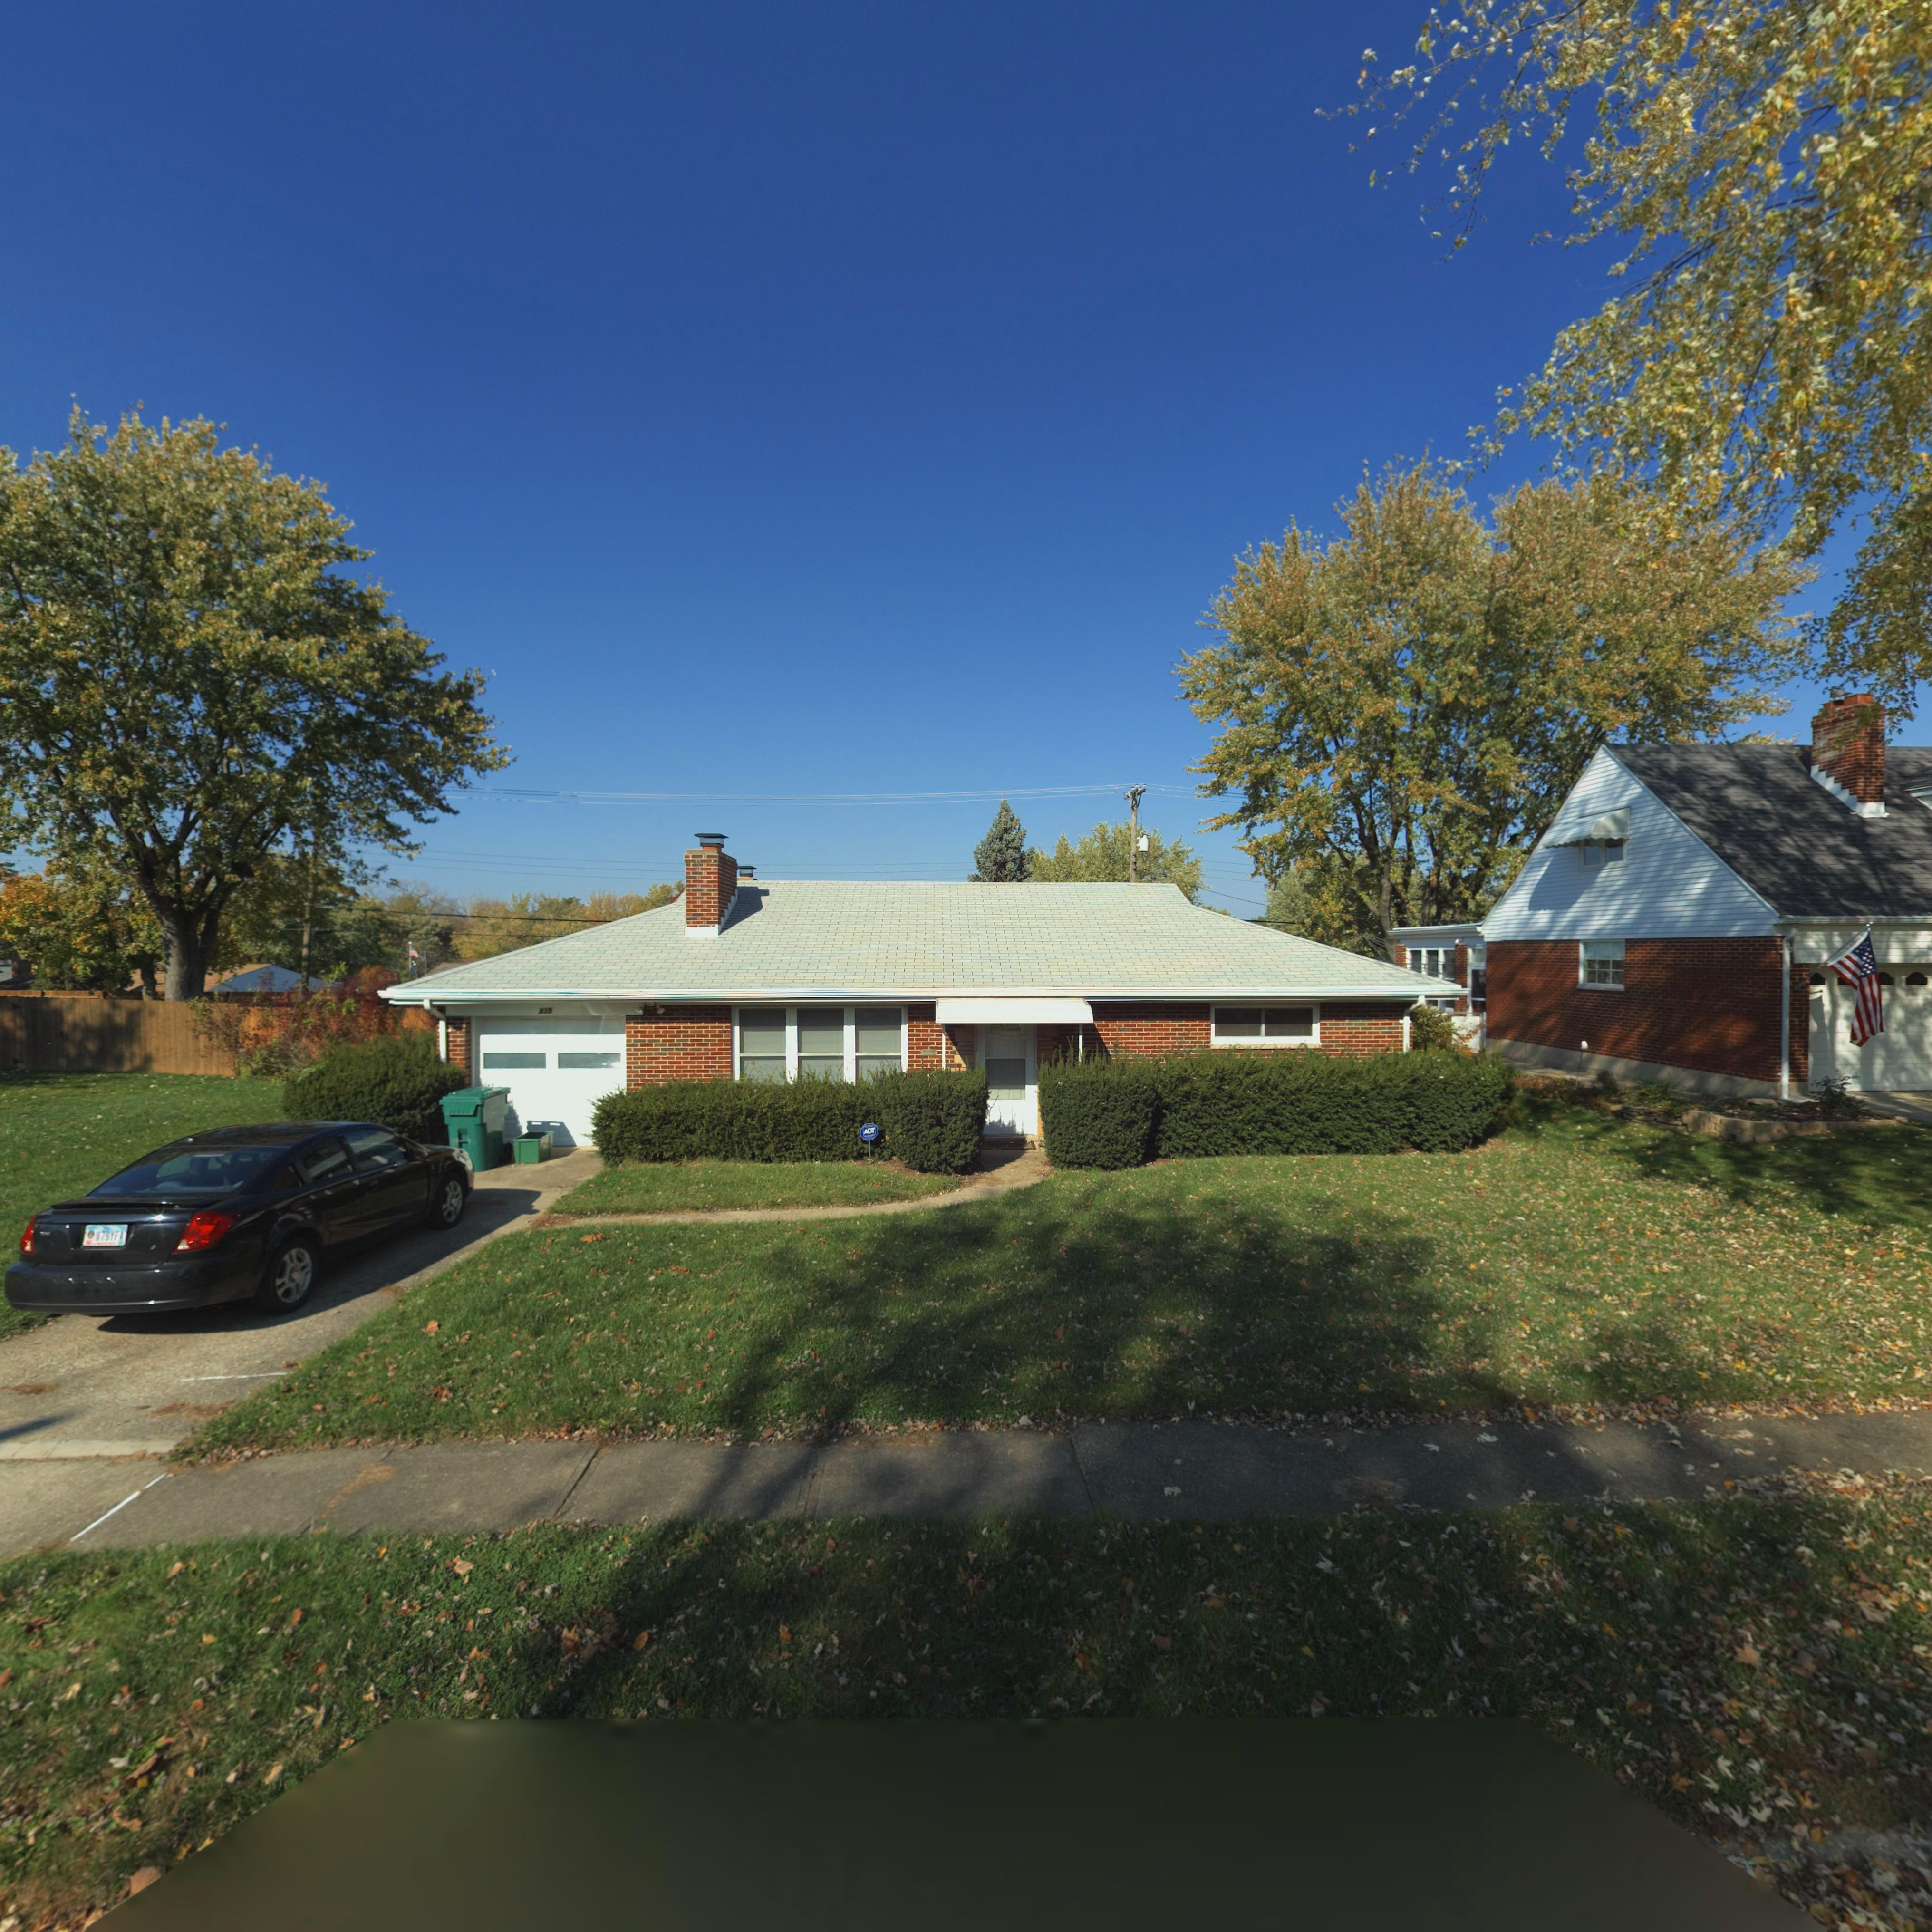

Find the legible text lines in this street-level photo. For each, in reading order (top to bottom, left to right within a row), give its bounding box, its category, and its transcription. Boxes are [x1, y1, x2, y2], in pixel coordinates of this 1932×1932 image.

[538, 1007, 553, 1014] StreetNumber: 935
[863, 1127, 875, 1135] None: ADT
[94, 1230, 125, 1242] None: 879IFA